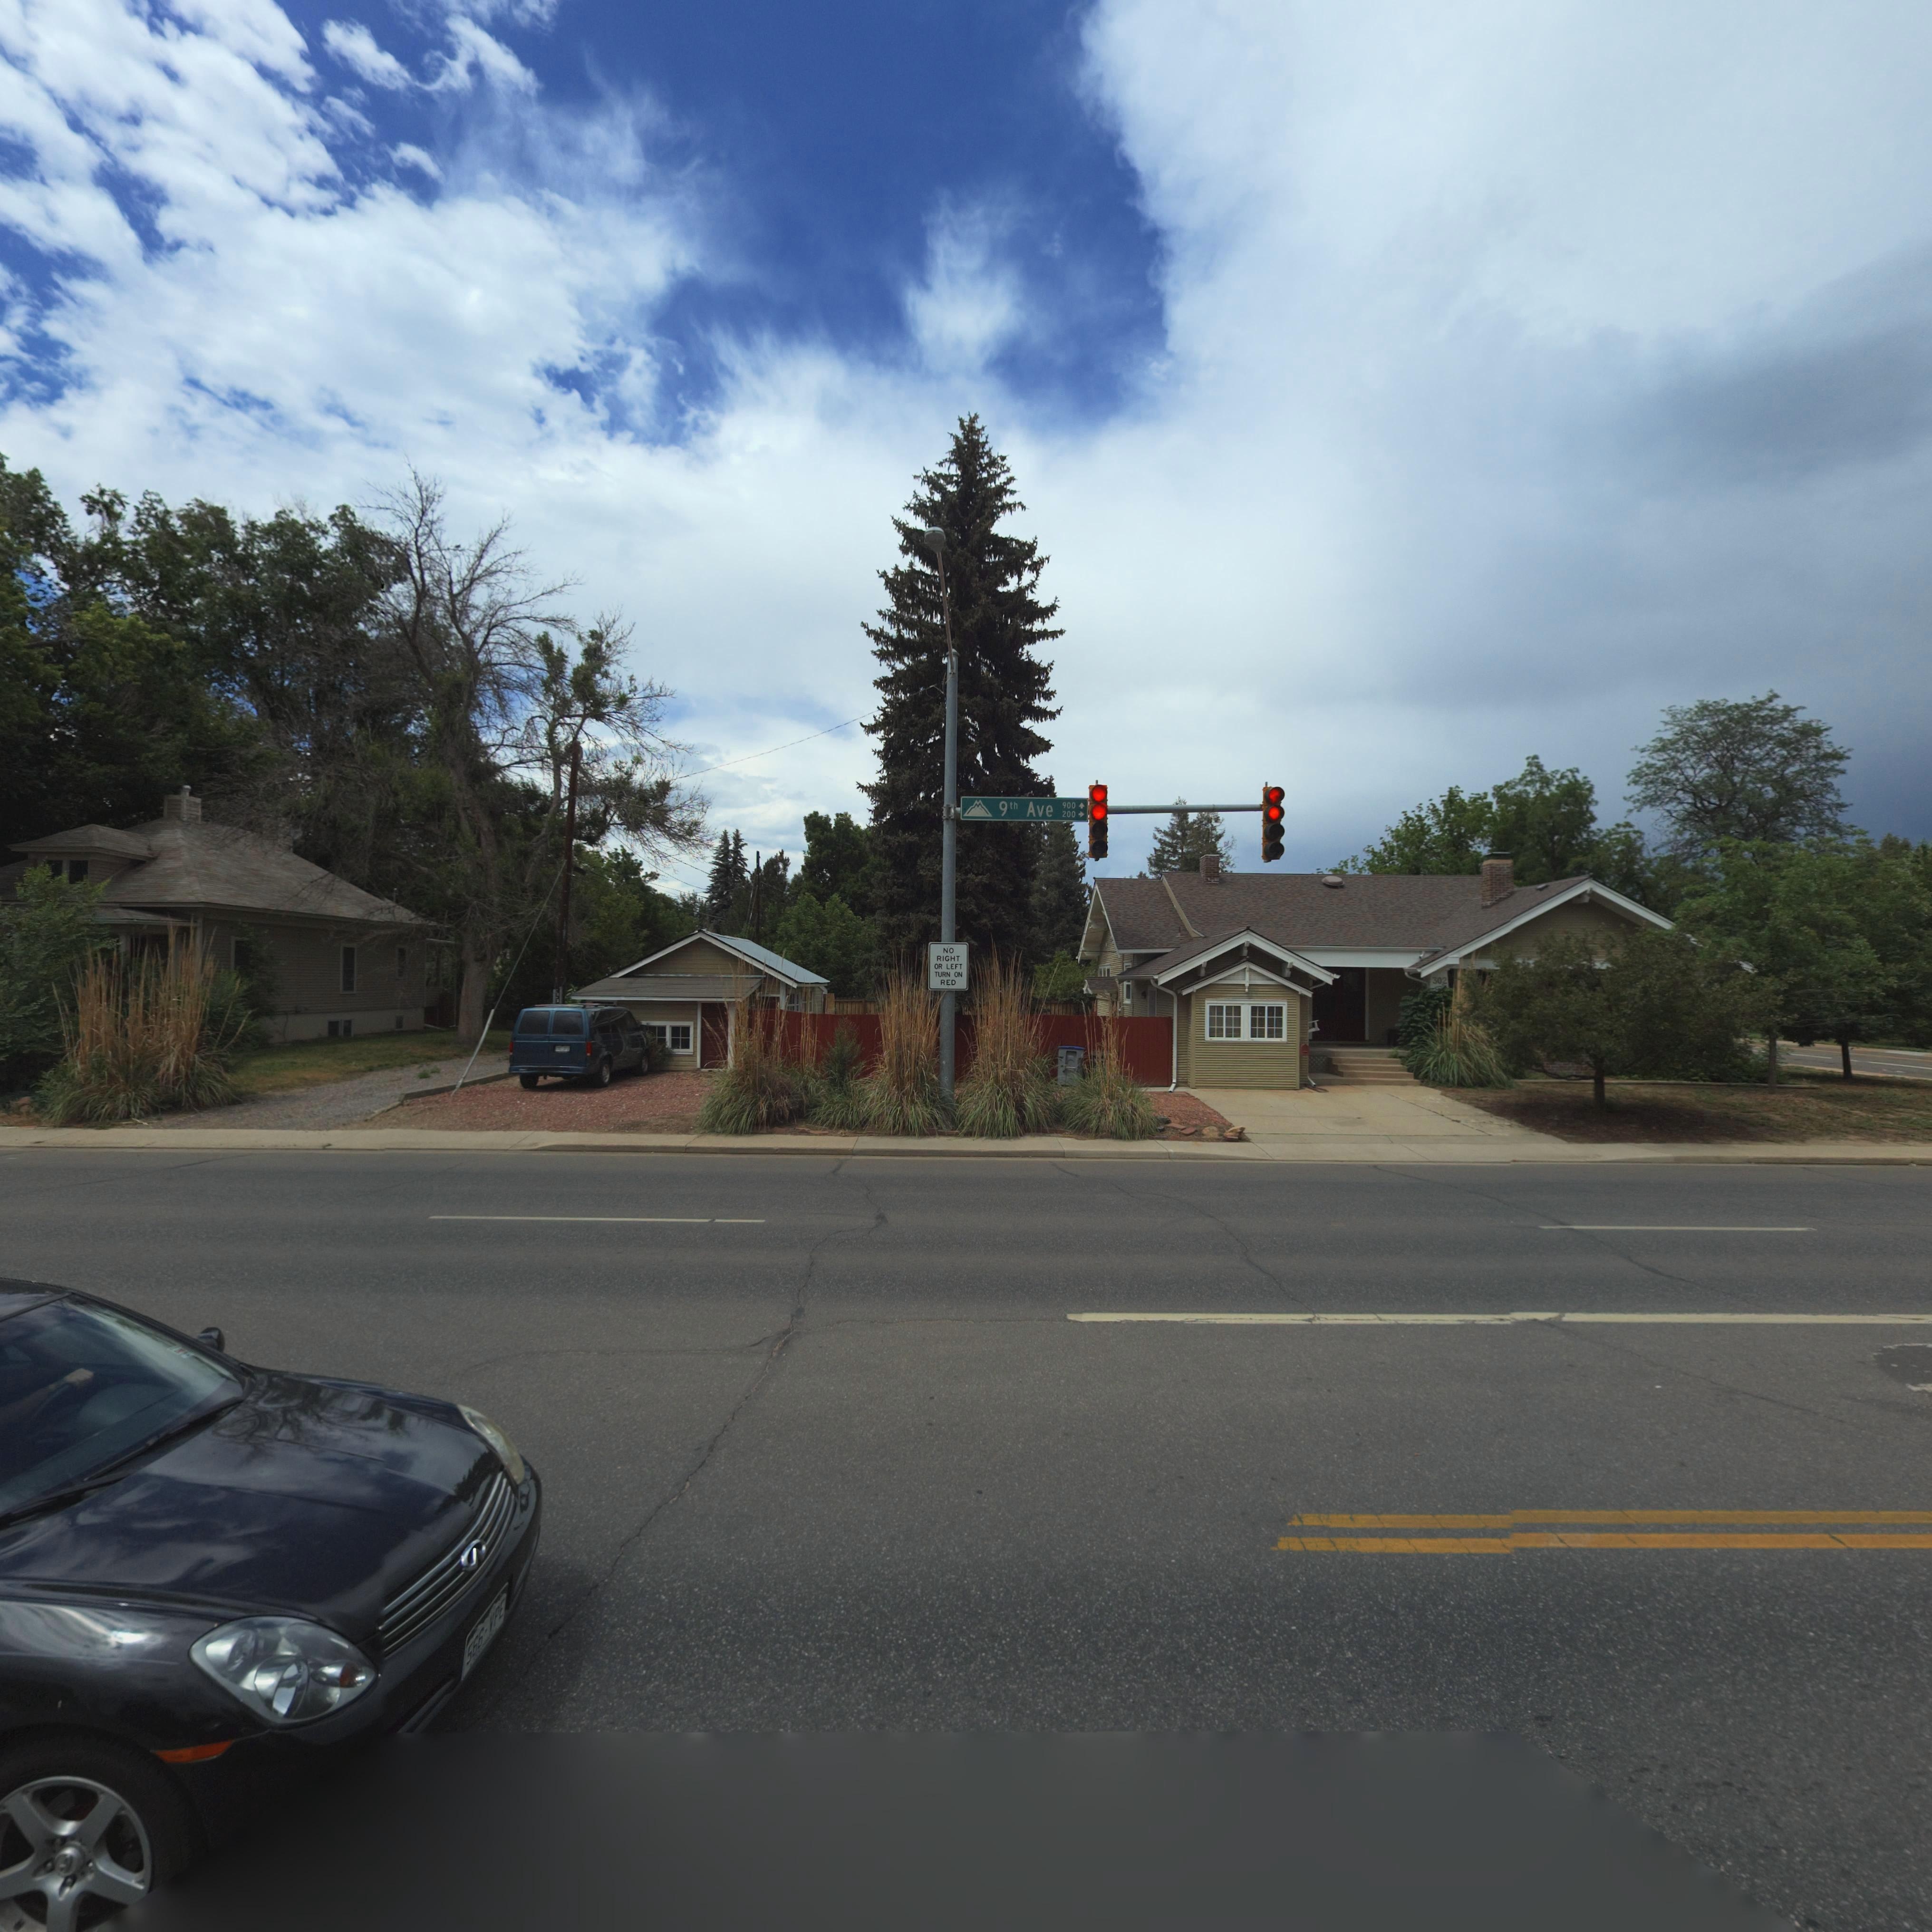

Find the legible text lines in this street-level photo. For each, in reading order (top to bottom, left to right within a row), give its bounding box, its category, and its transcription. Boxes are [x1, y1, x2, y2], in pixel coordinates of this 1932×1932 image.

[998, 801, 1053, 817] StreetName: 9th Ave
[1062, 801, 1075, 809] StreetNumberRange: 900
[1062, 810, 1084, 818] StreetNumberRange: 200->
[1431, 976, 1447, 985] StreetNumber: 302